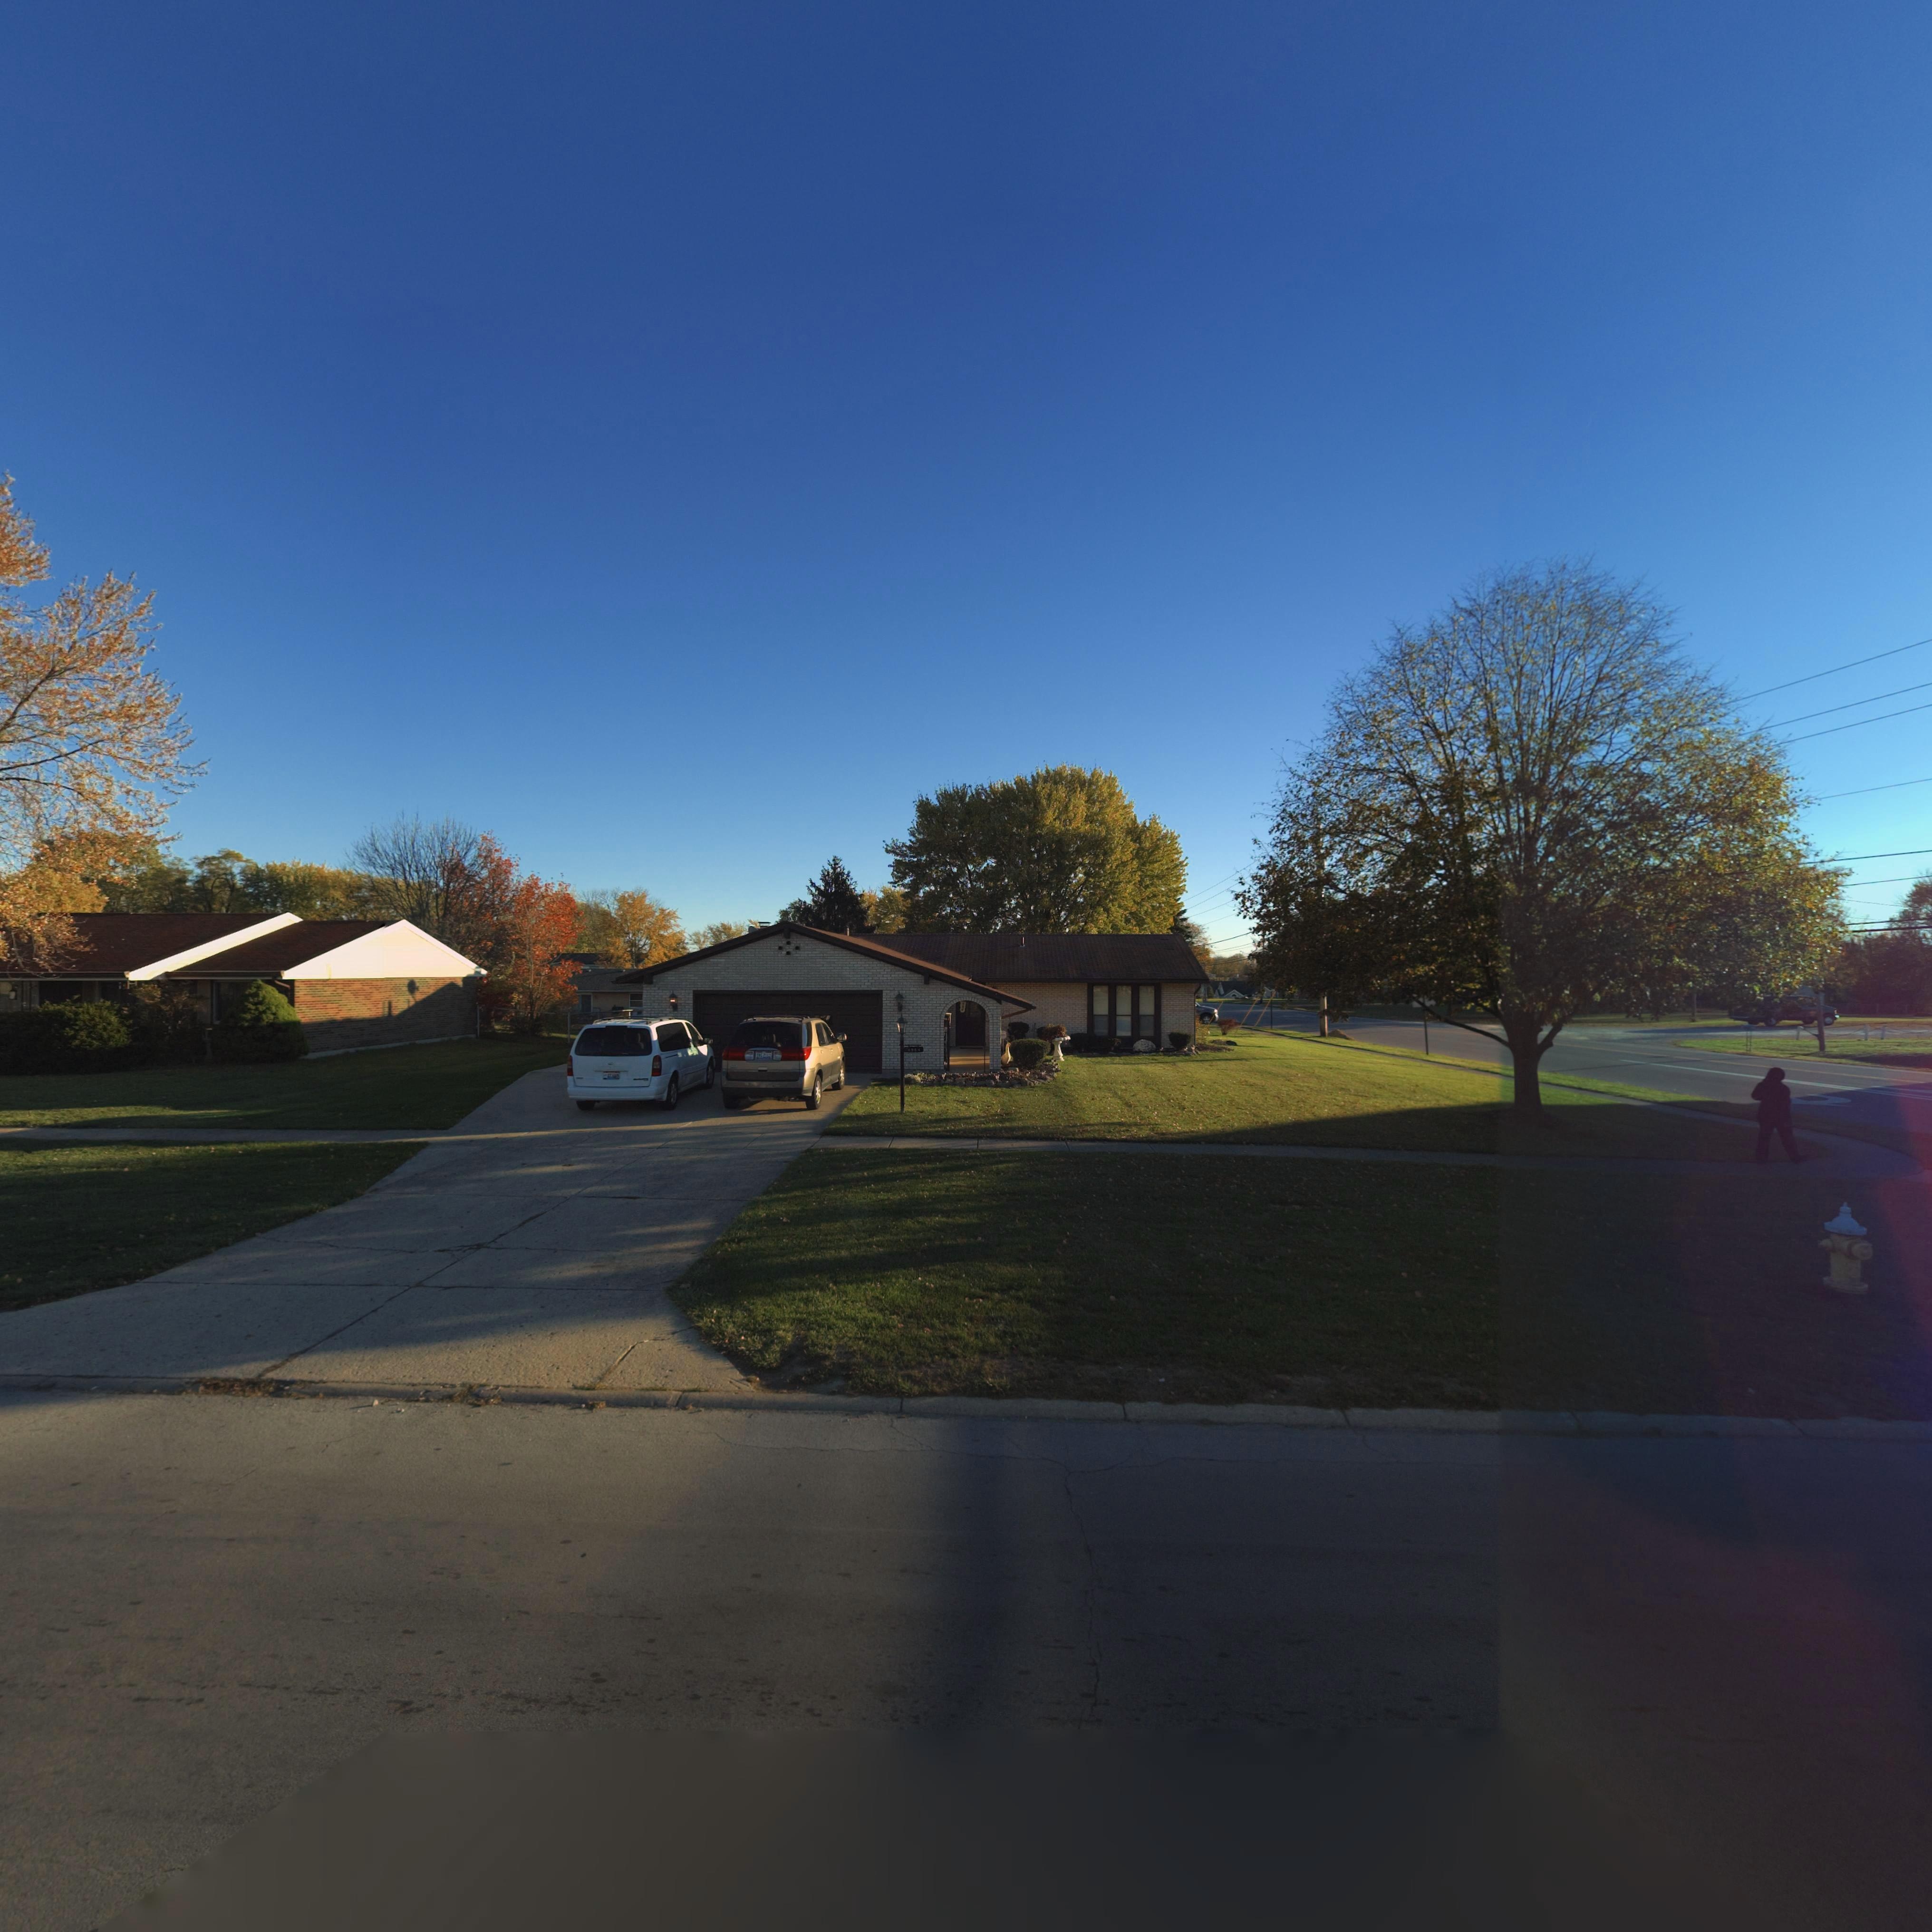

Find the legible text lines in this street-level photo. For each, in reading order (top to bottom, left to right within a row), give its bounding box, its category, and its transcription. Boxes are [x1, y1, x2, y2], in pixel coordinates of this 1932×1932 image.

[907, 1047, 921, 1052] StreetNumber: 49**